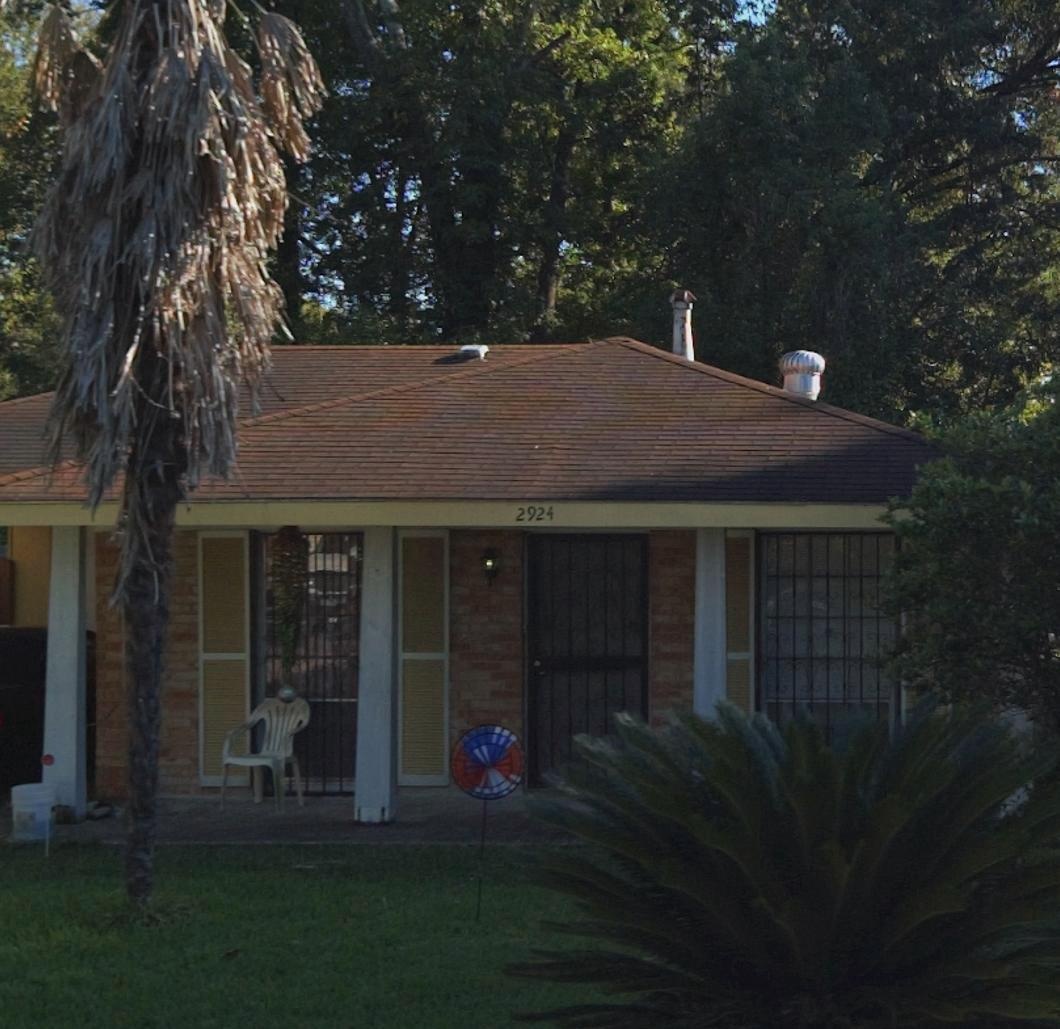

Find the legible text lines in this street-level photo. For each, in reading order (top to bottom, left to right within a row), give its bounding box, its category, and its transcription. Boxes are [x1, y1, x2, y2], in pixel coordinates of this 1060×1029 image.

[515, 504, 556, 523] StreetNumber: 2924